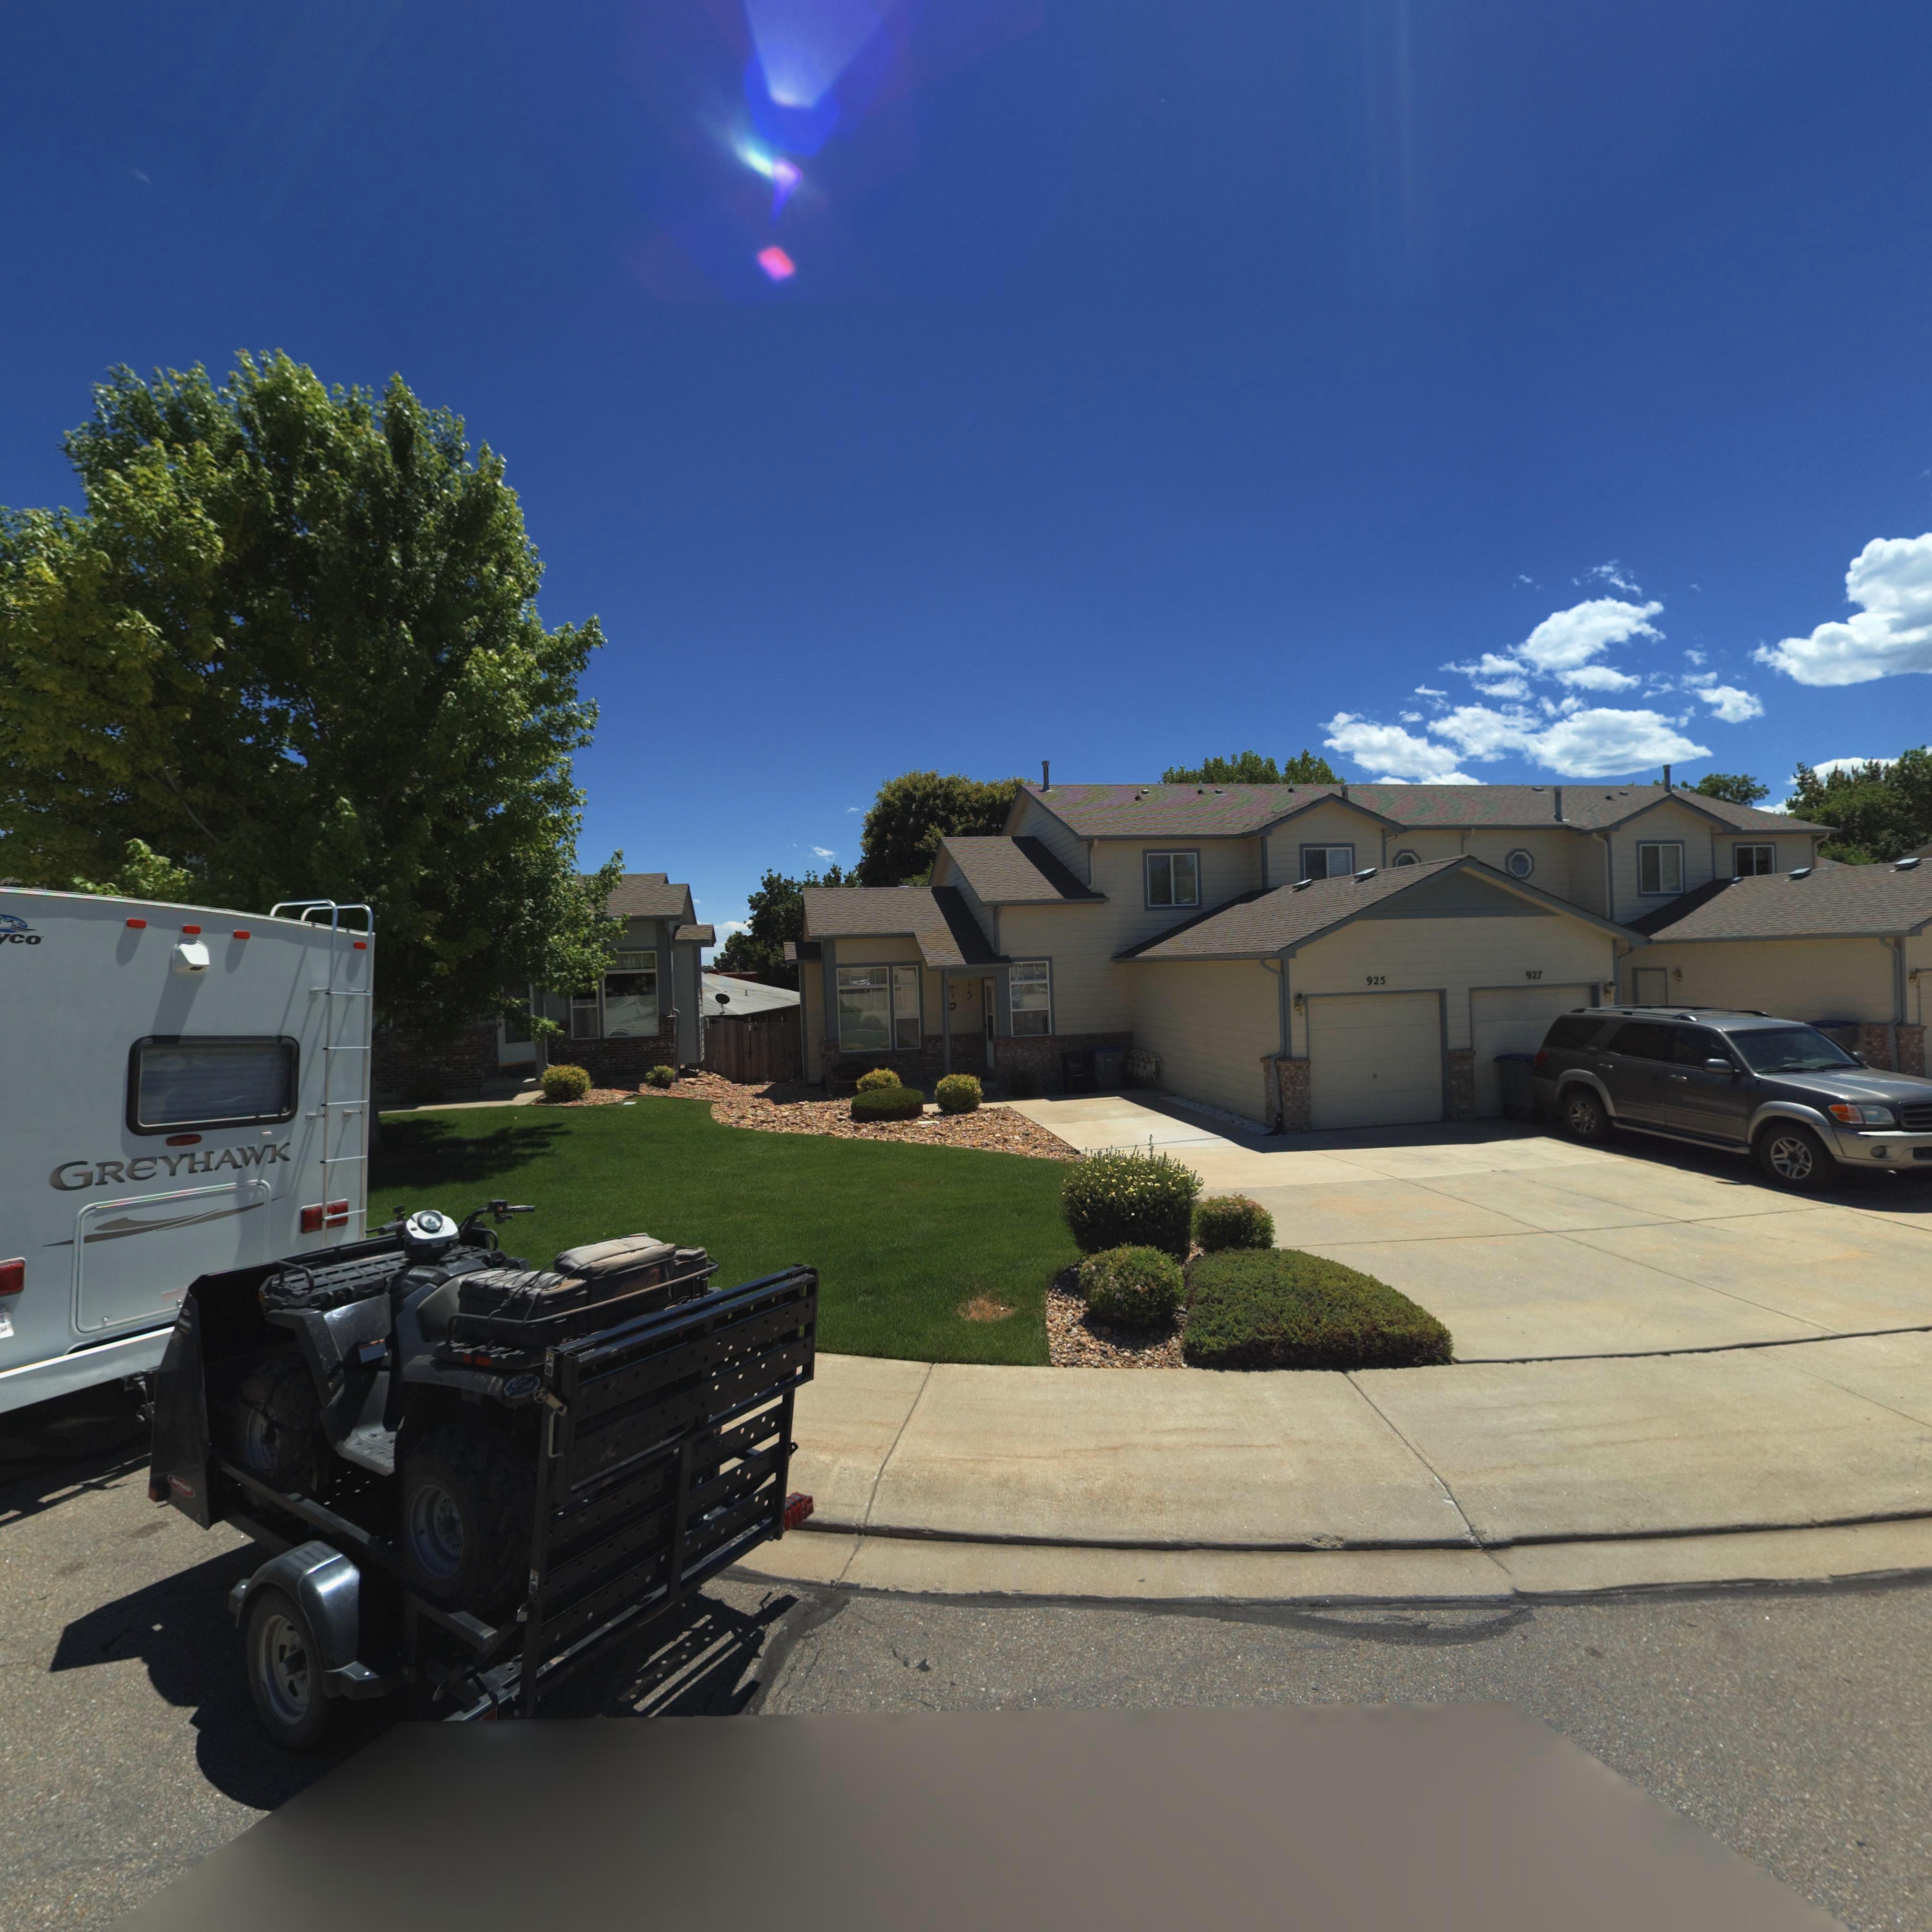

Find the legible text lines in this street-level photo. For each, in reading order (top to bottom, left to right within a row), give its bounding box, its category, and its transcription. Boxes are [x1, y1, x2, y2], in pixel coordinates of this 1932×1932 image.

[1525, 970, 1543, 980] StreetNumber: 927
[1366, 976, 1385, 985] StreetNumber: 925